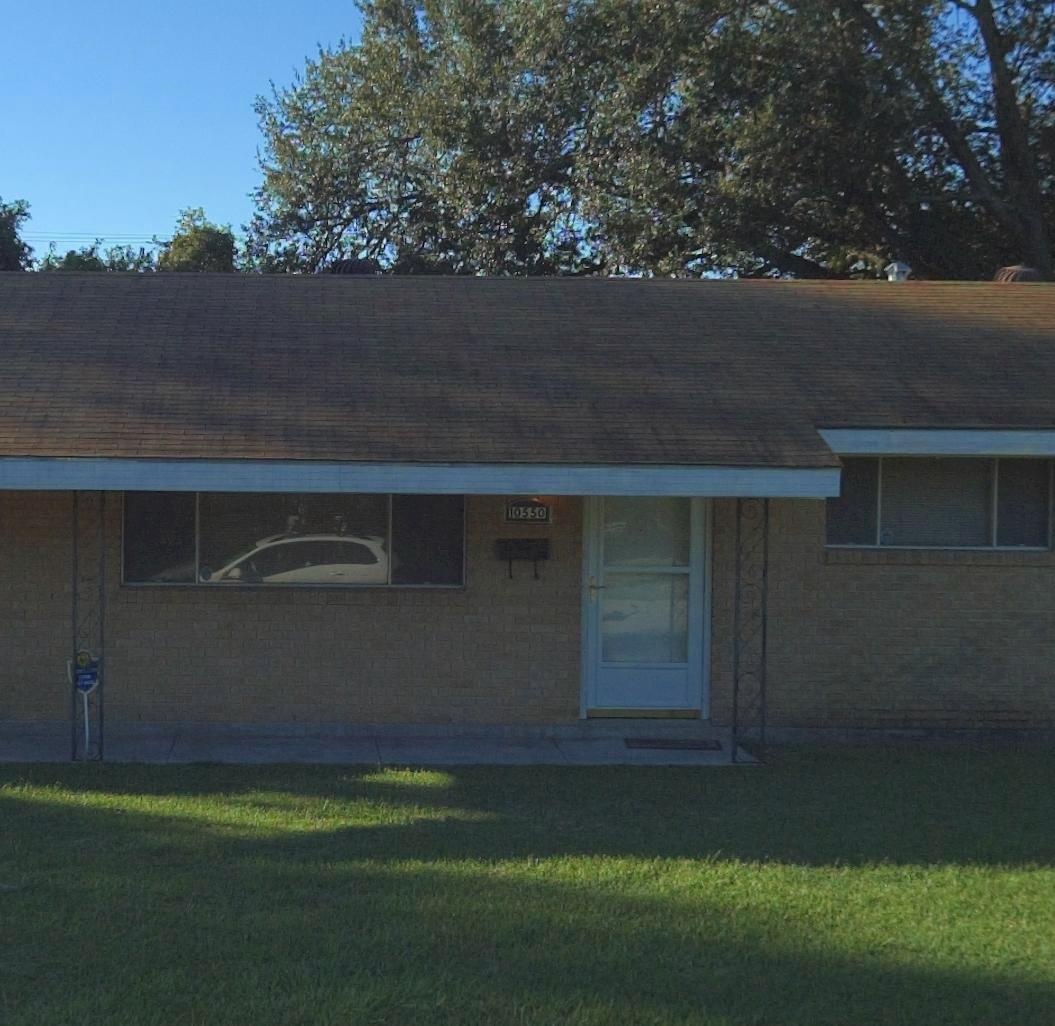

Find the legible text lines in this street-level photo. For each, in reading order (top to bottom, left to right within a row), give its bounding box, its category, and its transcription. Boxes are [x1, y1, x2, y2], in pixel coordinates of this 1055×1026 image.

[508, 505, 546, 519] StreetNumber: 10550